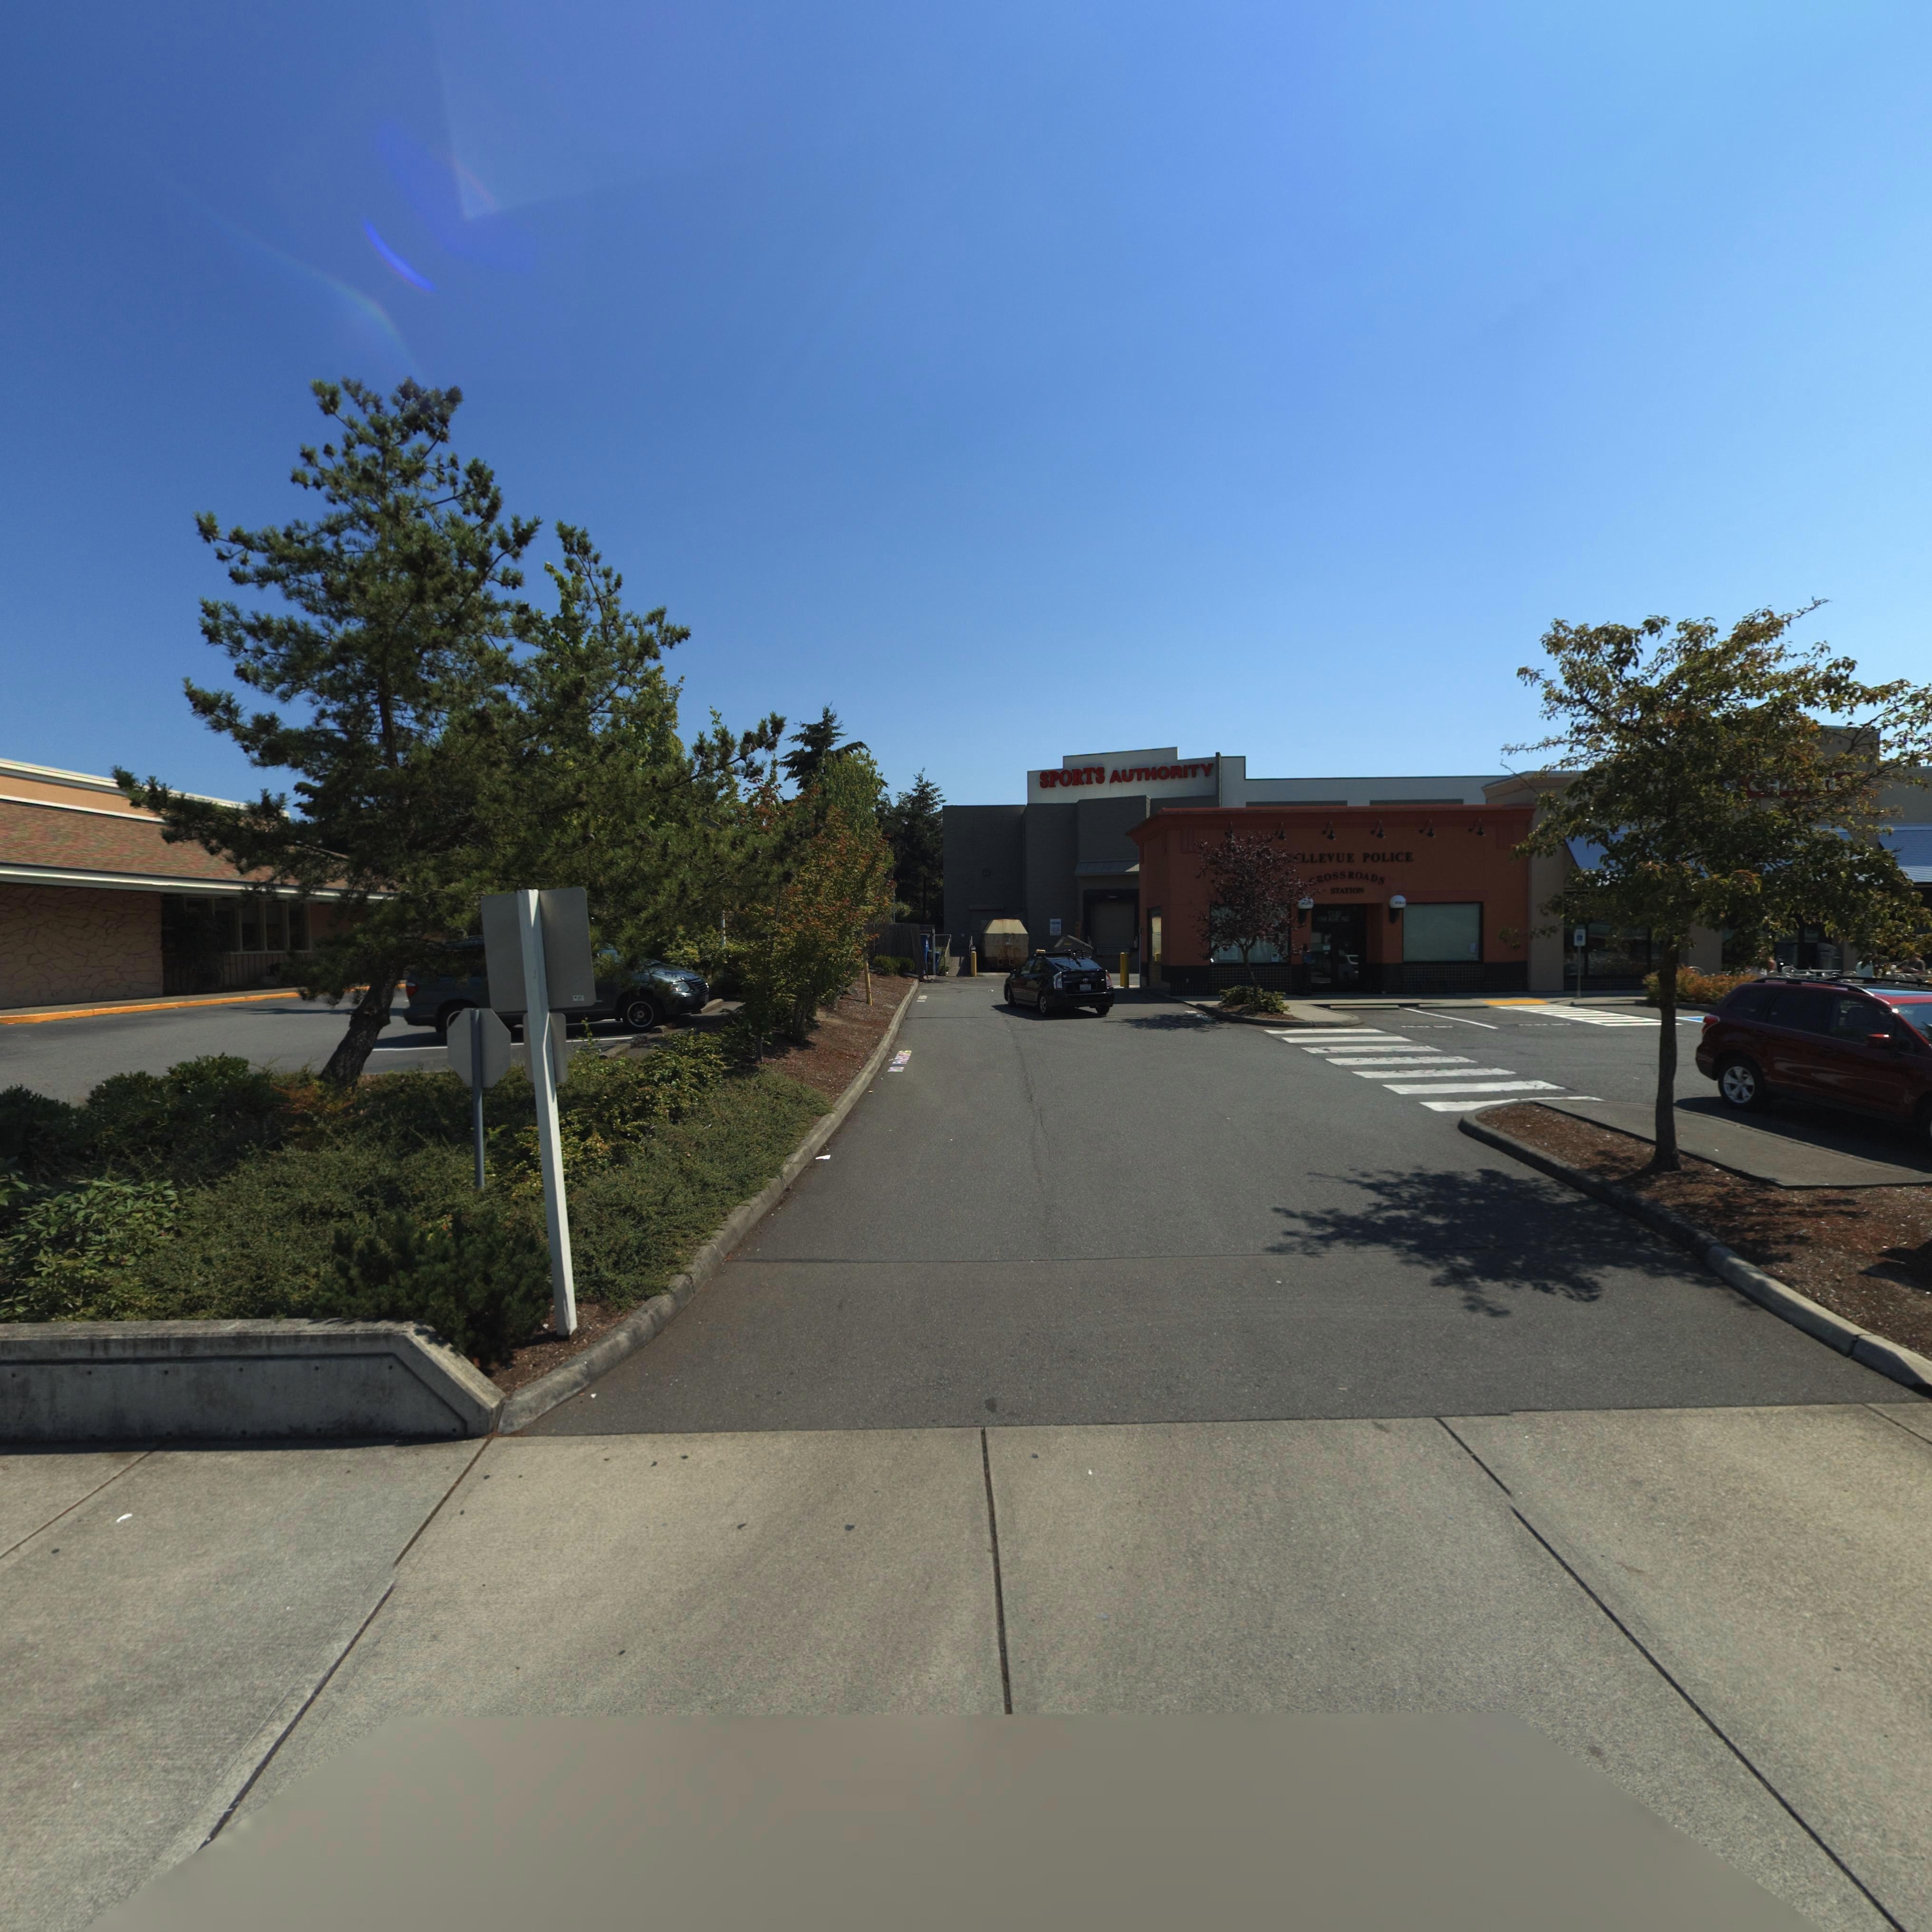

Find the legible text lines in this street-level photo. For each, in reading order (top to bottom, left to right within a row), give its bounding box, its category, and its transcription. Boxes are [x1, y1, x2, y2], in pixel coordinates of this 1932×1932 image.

[1034, 760, 1216, 788] BusinessName: SPORTS AUTHORITY